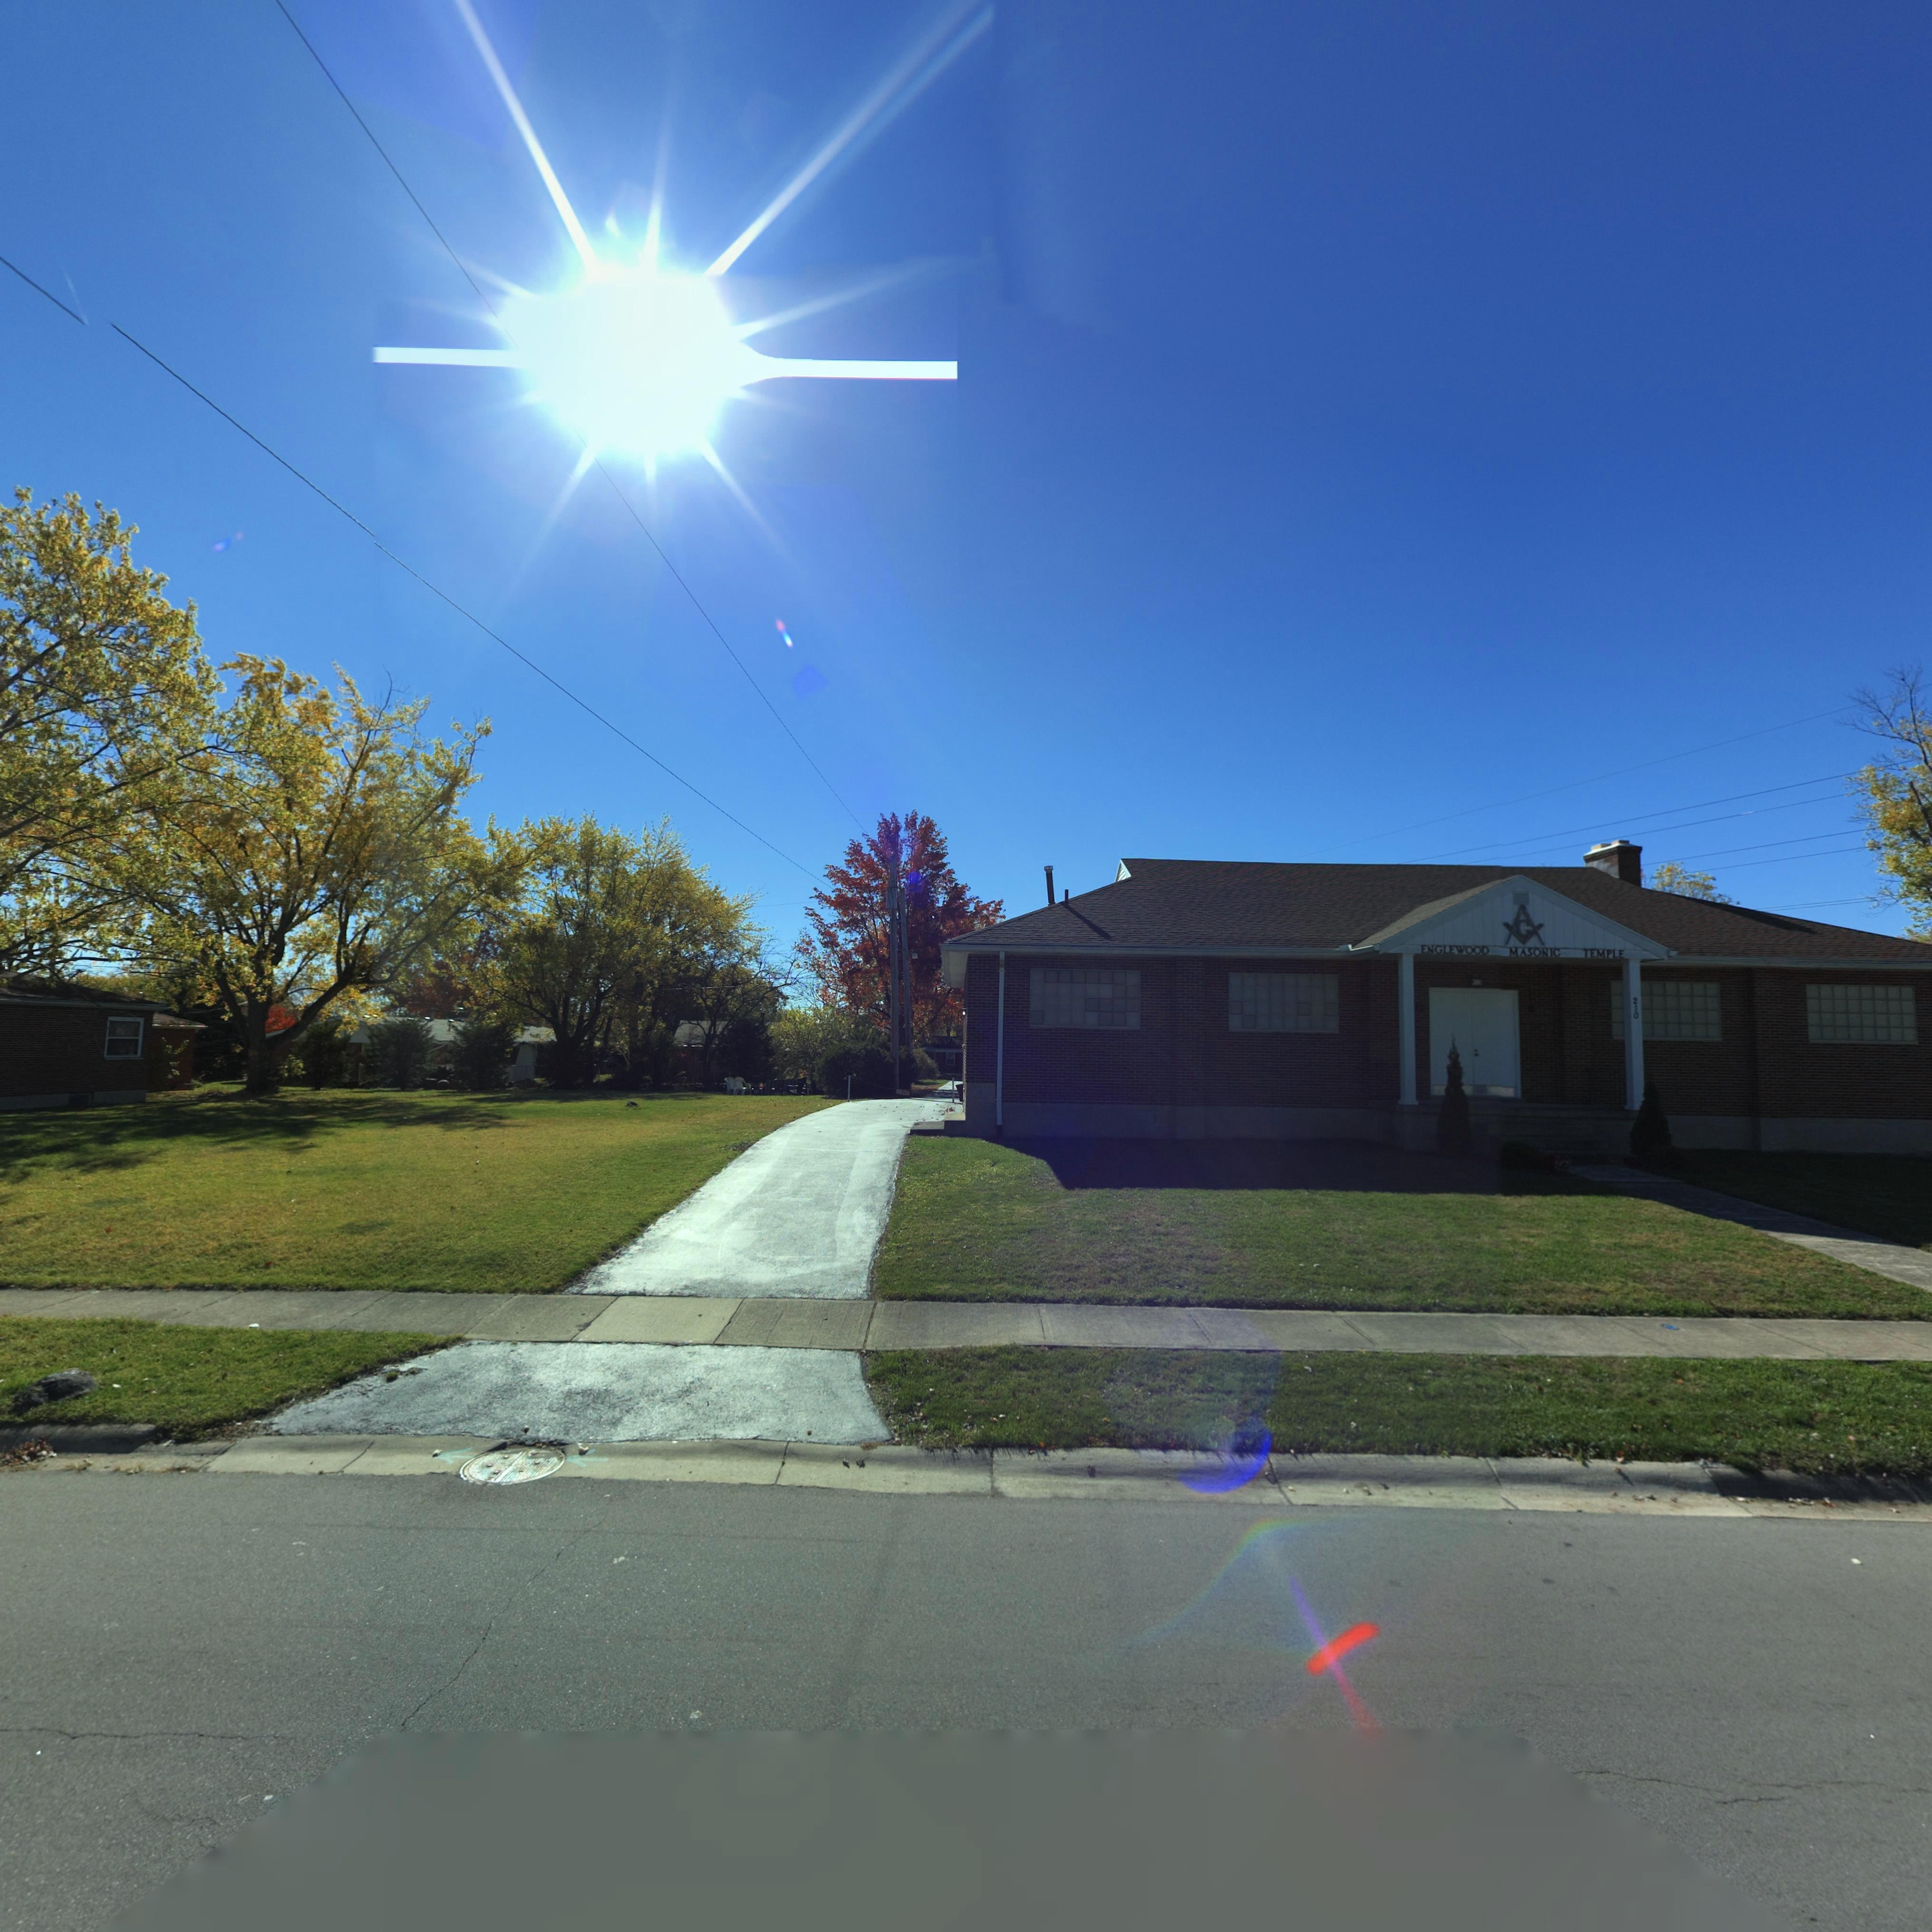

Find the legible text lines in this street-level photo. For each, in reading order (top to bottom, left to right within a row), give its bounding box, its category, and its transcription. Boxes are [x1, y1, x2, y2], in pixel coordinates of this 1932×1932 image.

[1419, 943, 1626, 959] BusinessName: ENGLEWOOD MASONIC TEMPLE
[1632, 996, 1640, 1020] StreetNumber: 210